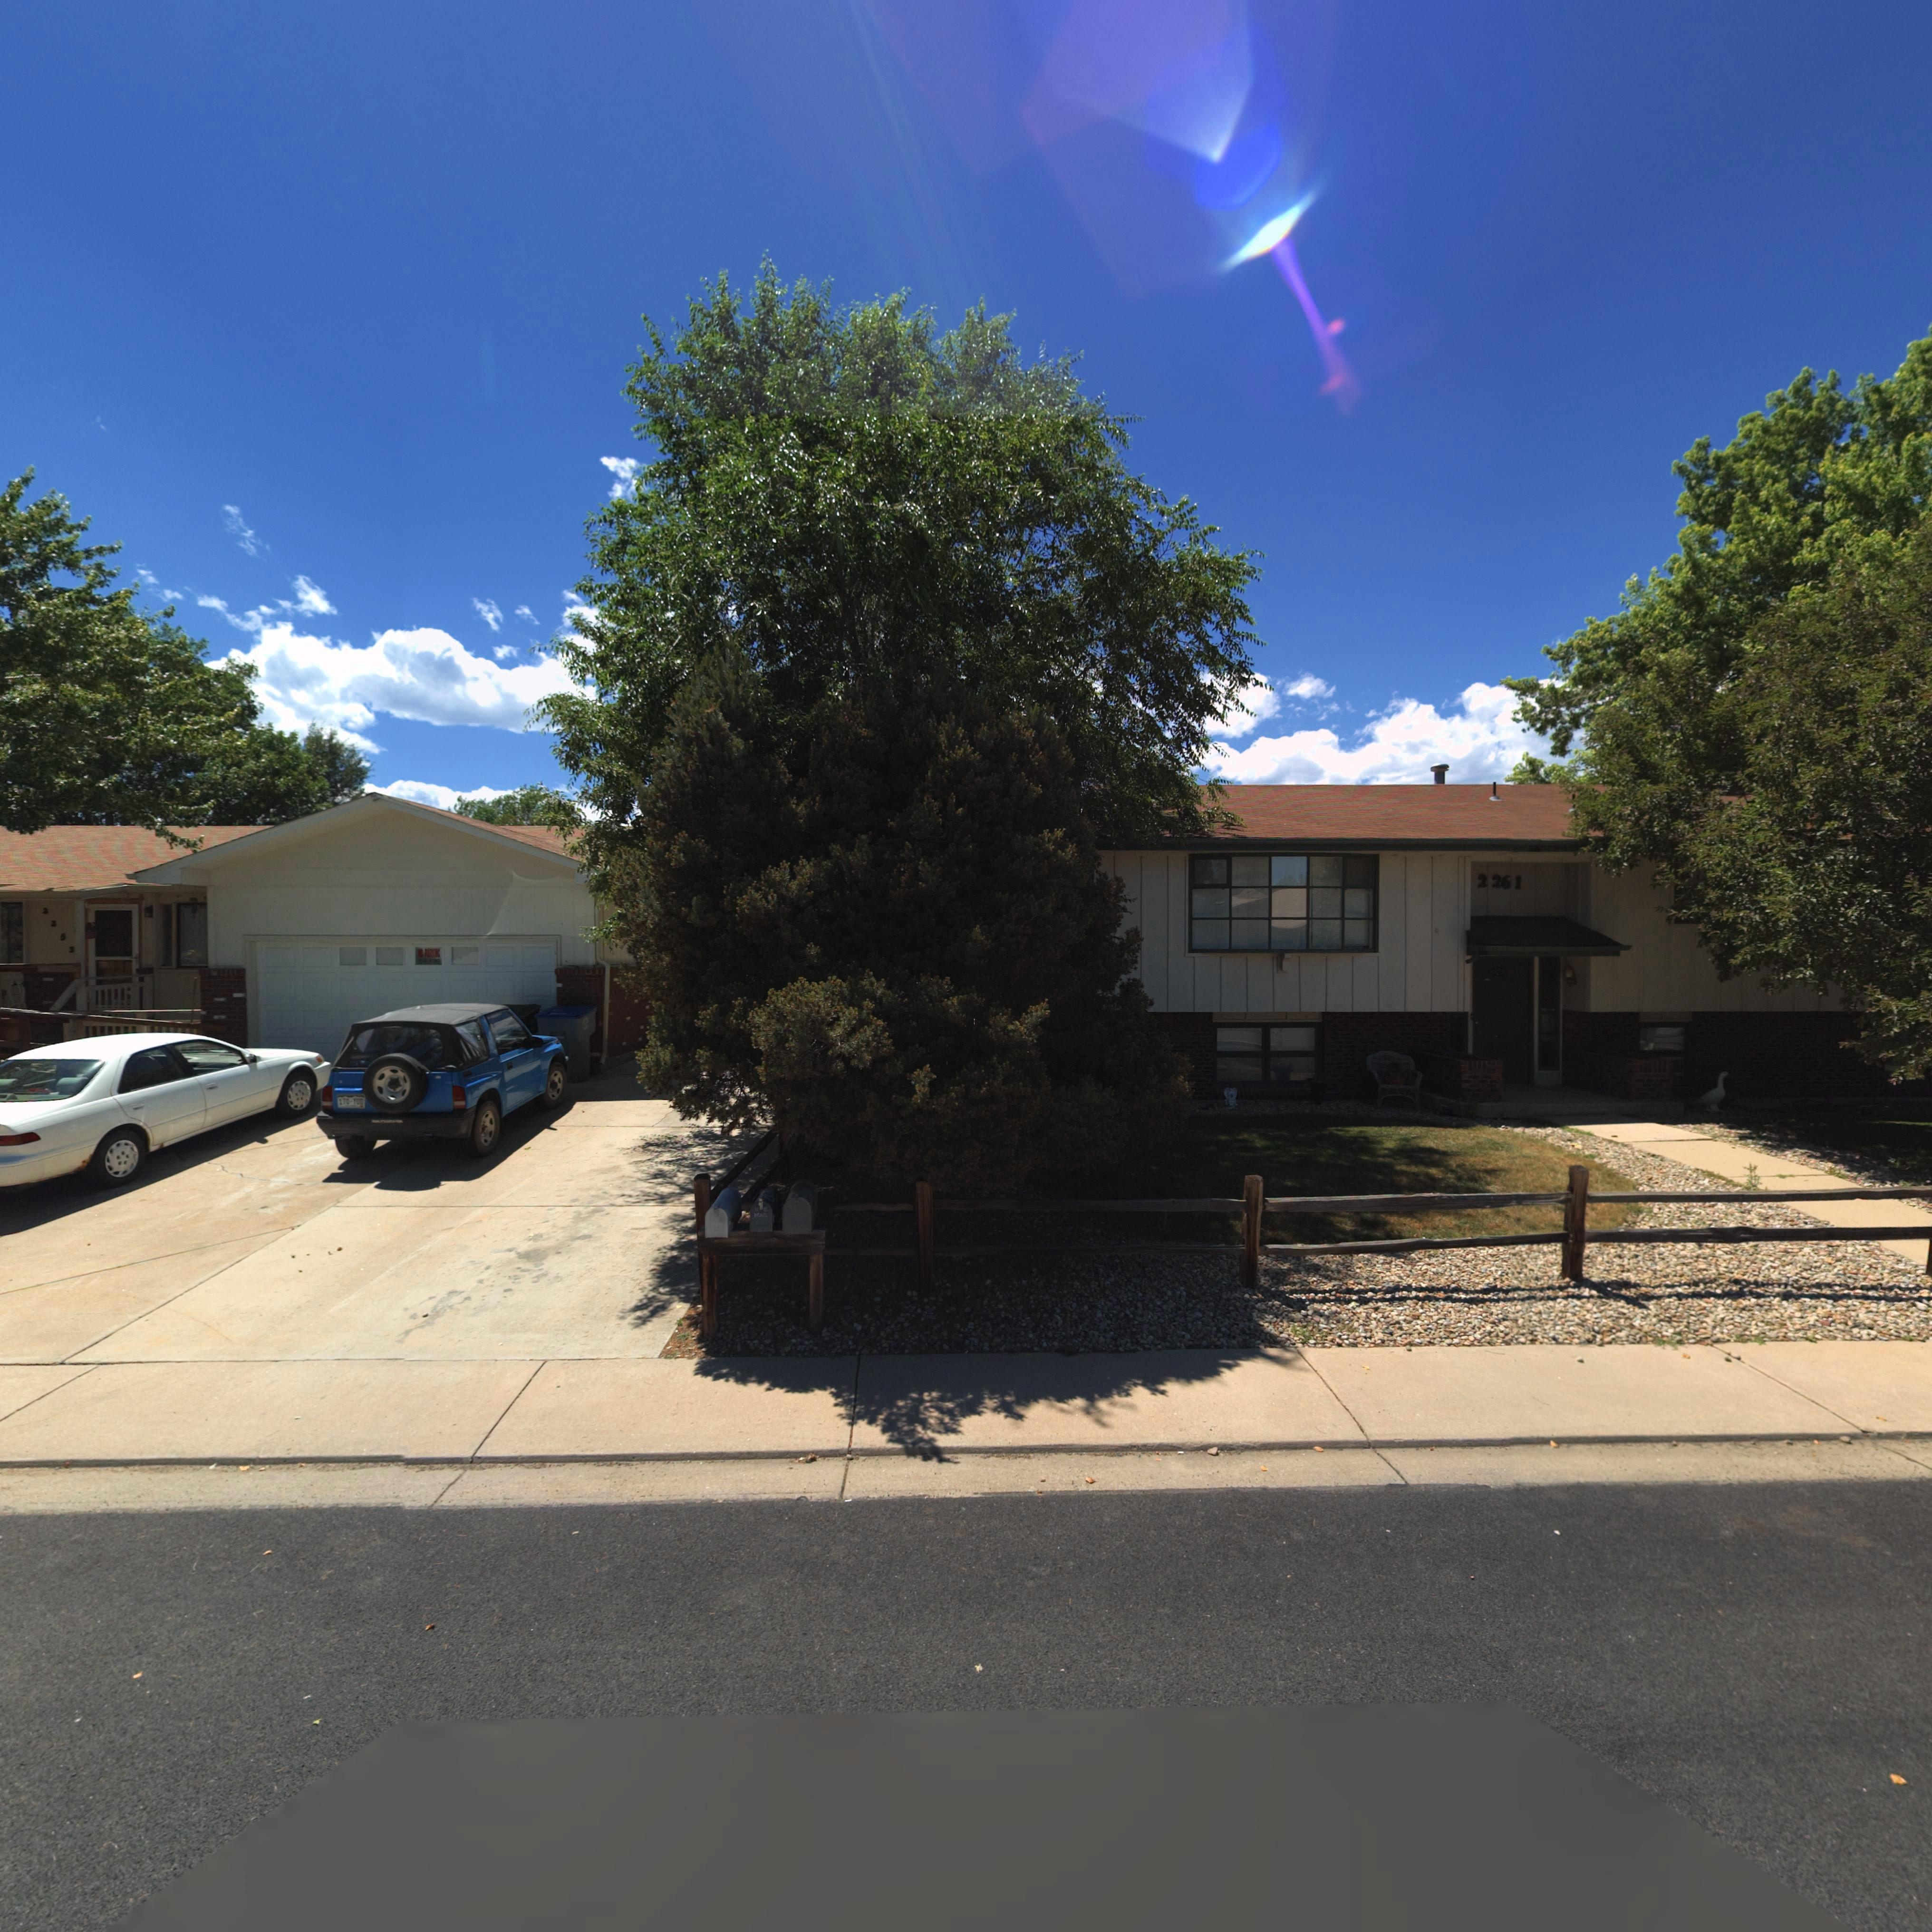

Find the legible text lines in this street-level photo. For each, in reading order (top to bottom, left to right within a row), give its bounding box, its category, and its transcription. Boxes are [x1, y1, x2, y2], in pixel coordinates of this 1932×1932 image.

[1476, 872, 1523, 890] StreetNumber: 2261
[41, 906, 76, 954] StreetNumber: 225*